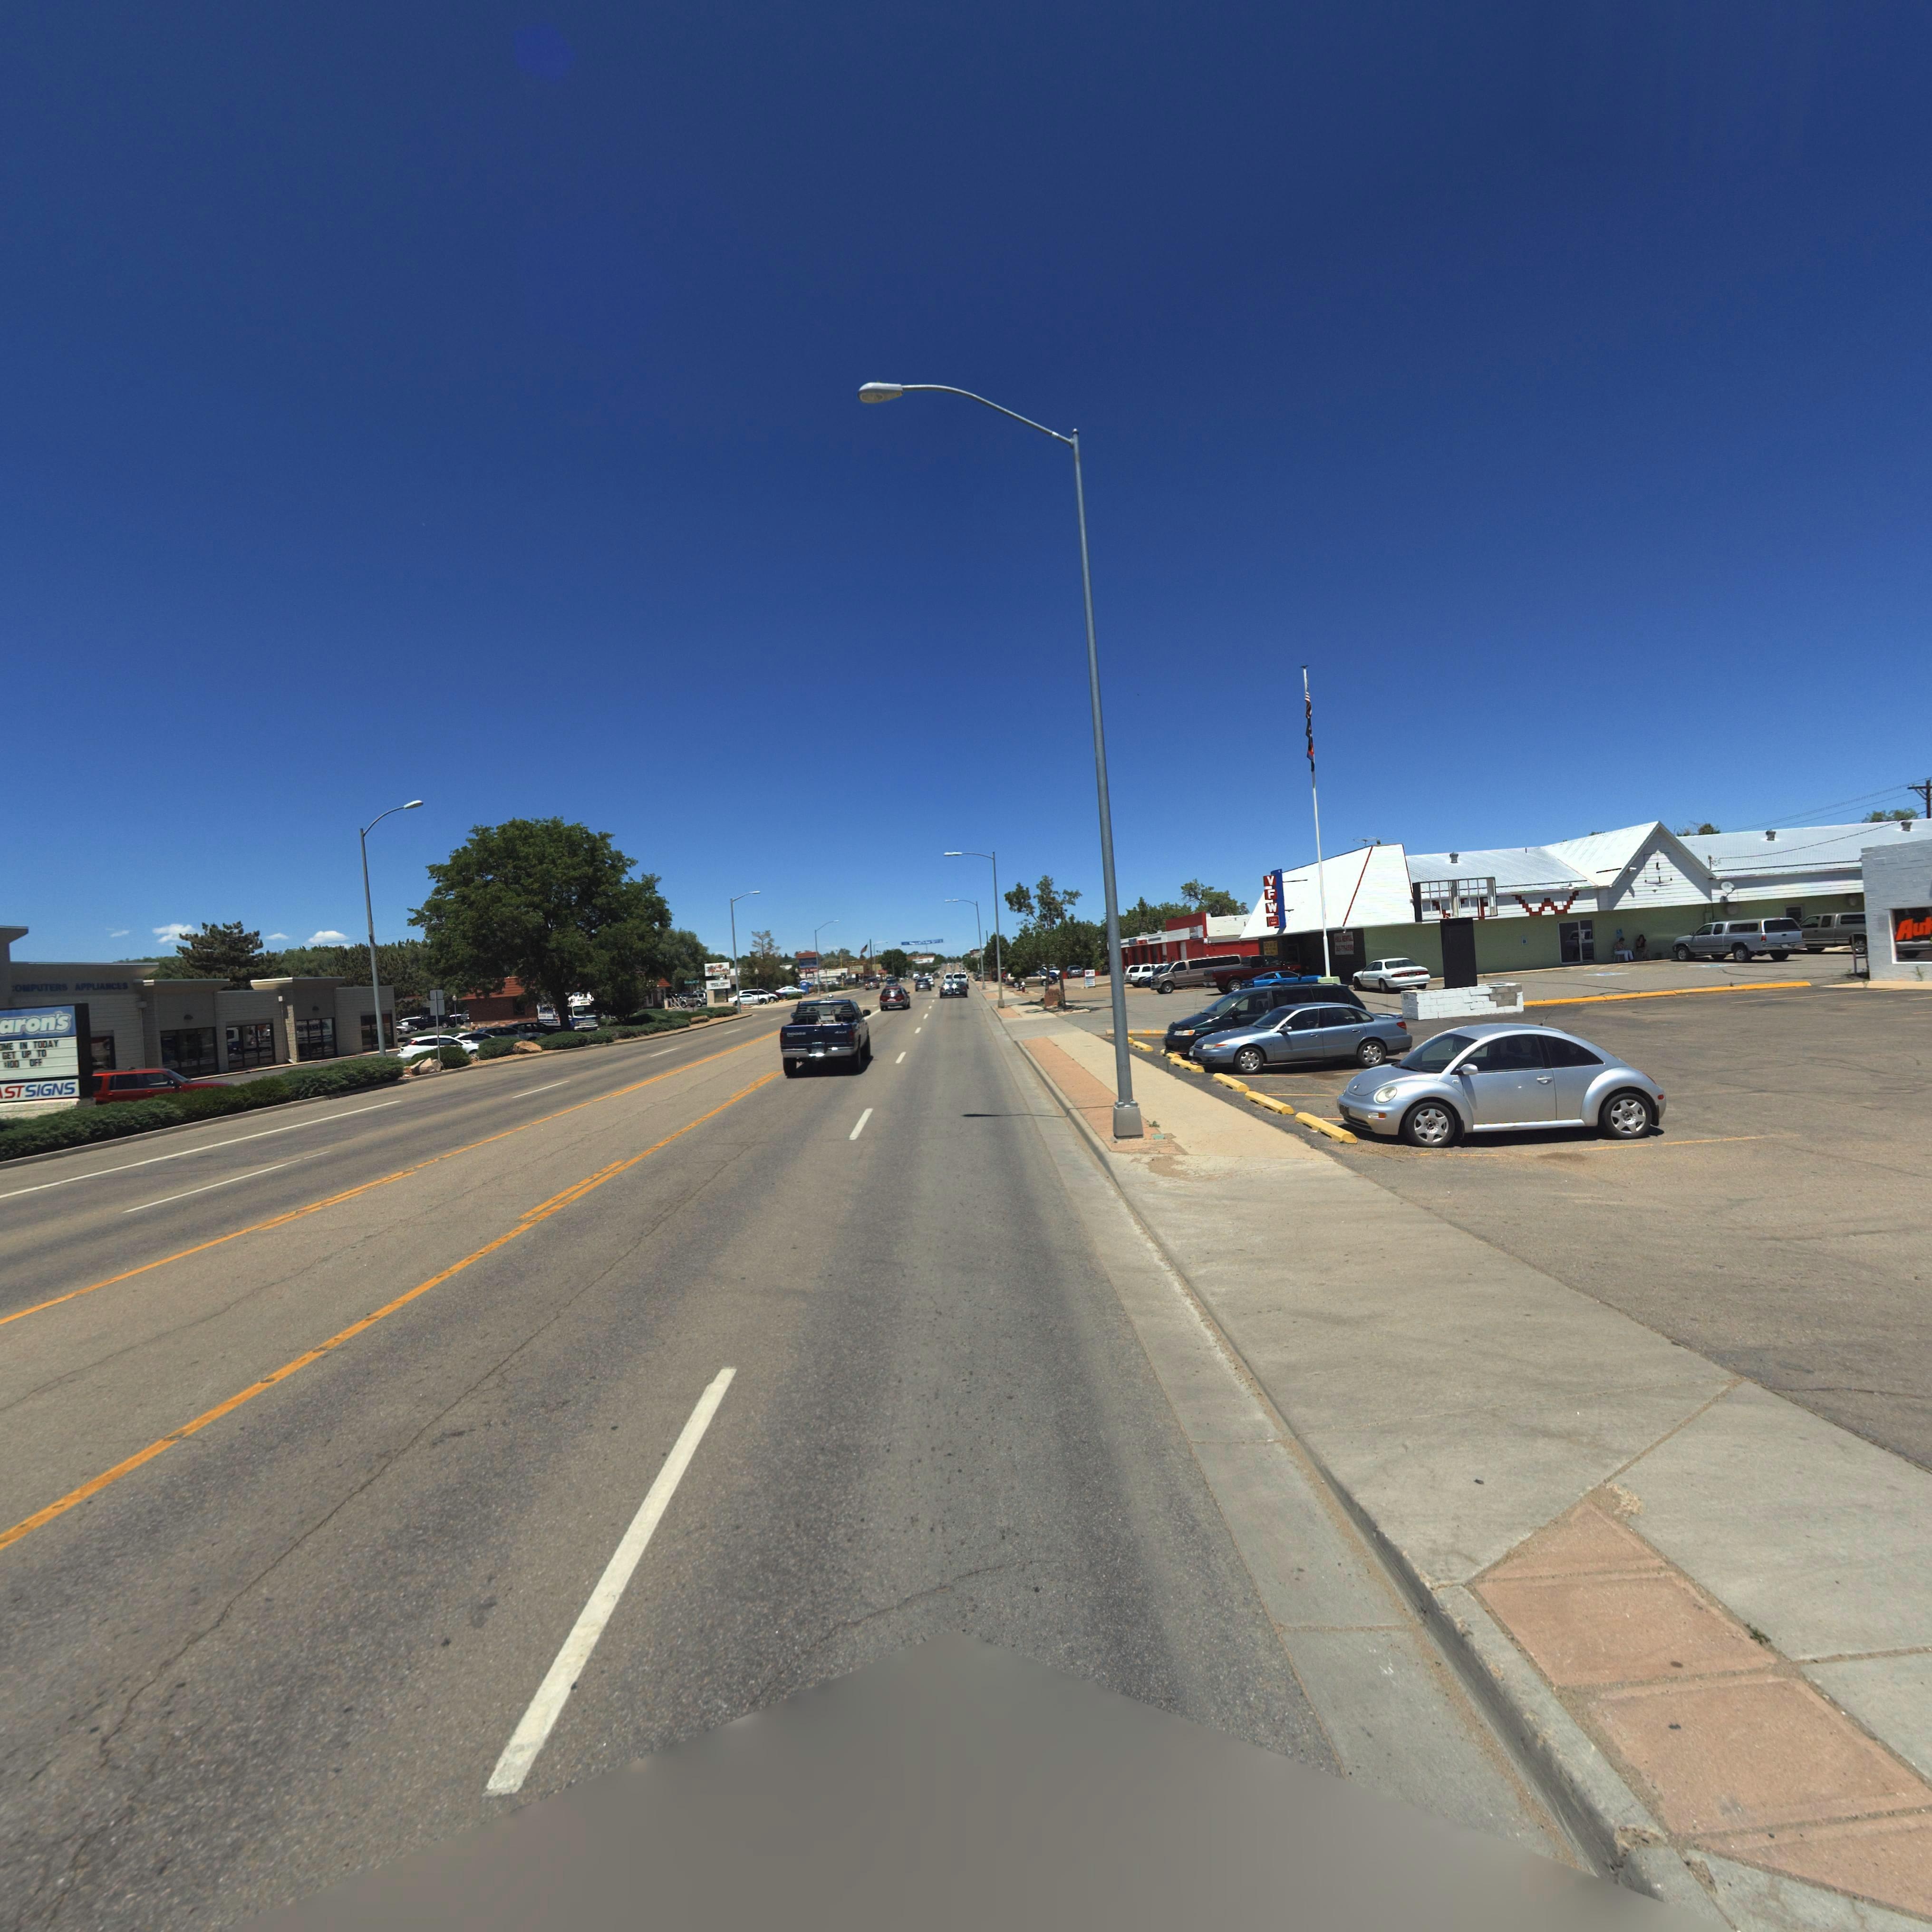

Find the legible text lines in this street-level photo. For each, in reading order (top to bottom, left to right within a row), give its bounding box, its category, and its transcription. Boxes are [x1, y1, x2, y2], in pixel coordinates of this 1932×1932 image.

[1266, 875, 1277, 912] BusinessName: VFW
[1428, 889, 1584, 919] BusinessName: **W
[14, 1012, 70, 1034] BusinessName: ron's
[4, 1082, 76, 1099] BusinessName: ST SIGNS